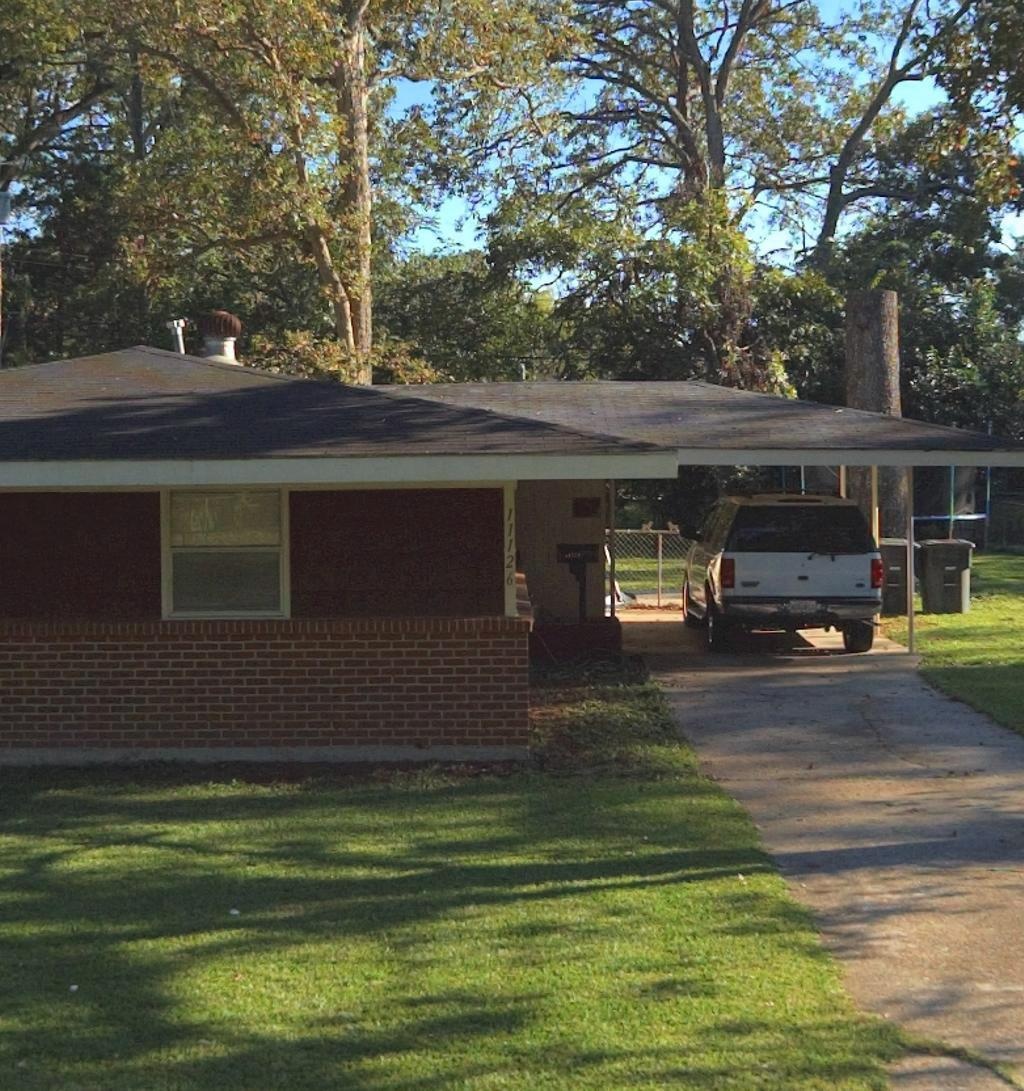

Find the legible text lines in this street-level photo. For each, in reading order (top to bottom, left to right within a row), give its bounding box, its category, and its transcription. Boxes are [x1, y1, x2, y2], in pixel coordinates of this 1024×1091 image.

[505, 507, 515, 586] StreetNumber: 11126